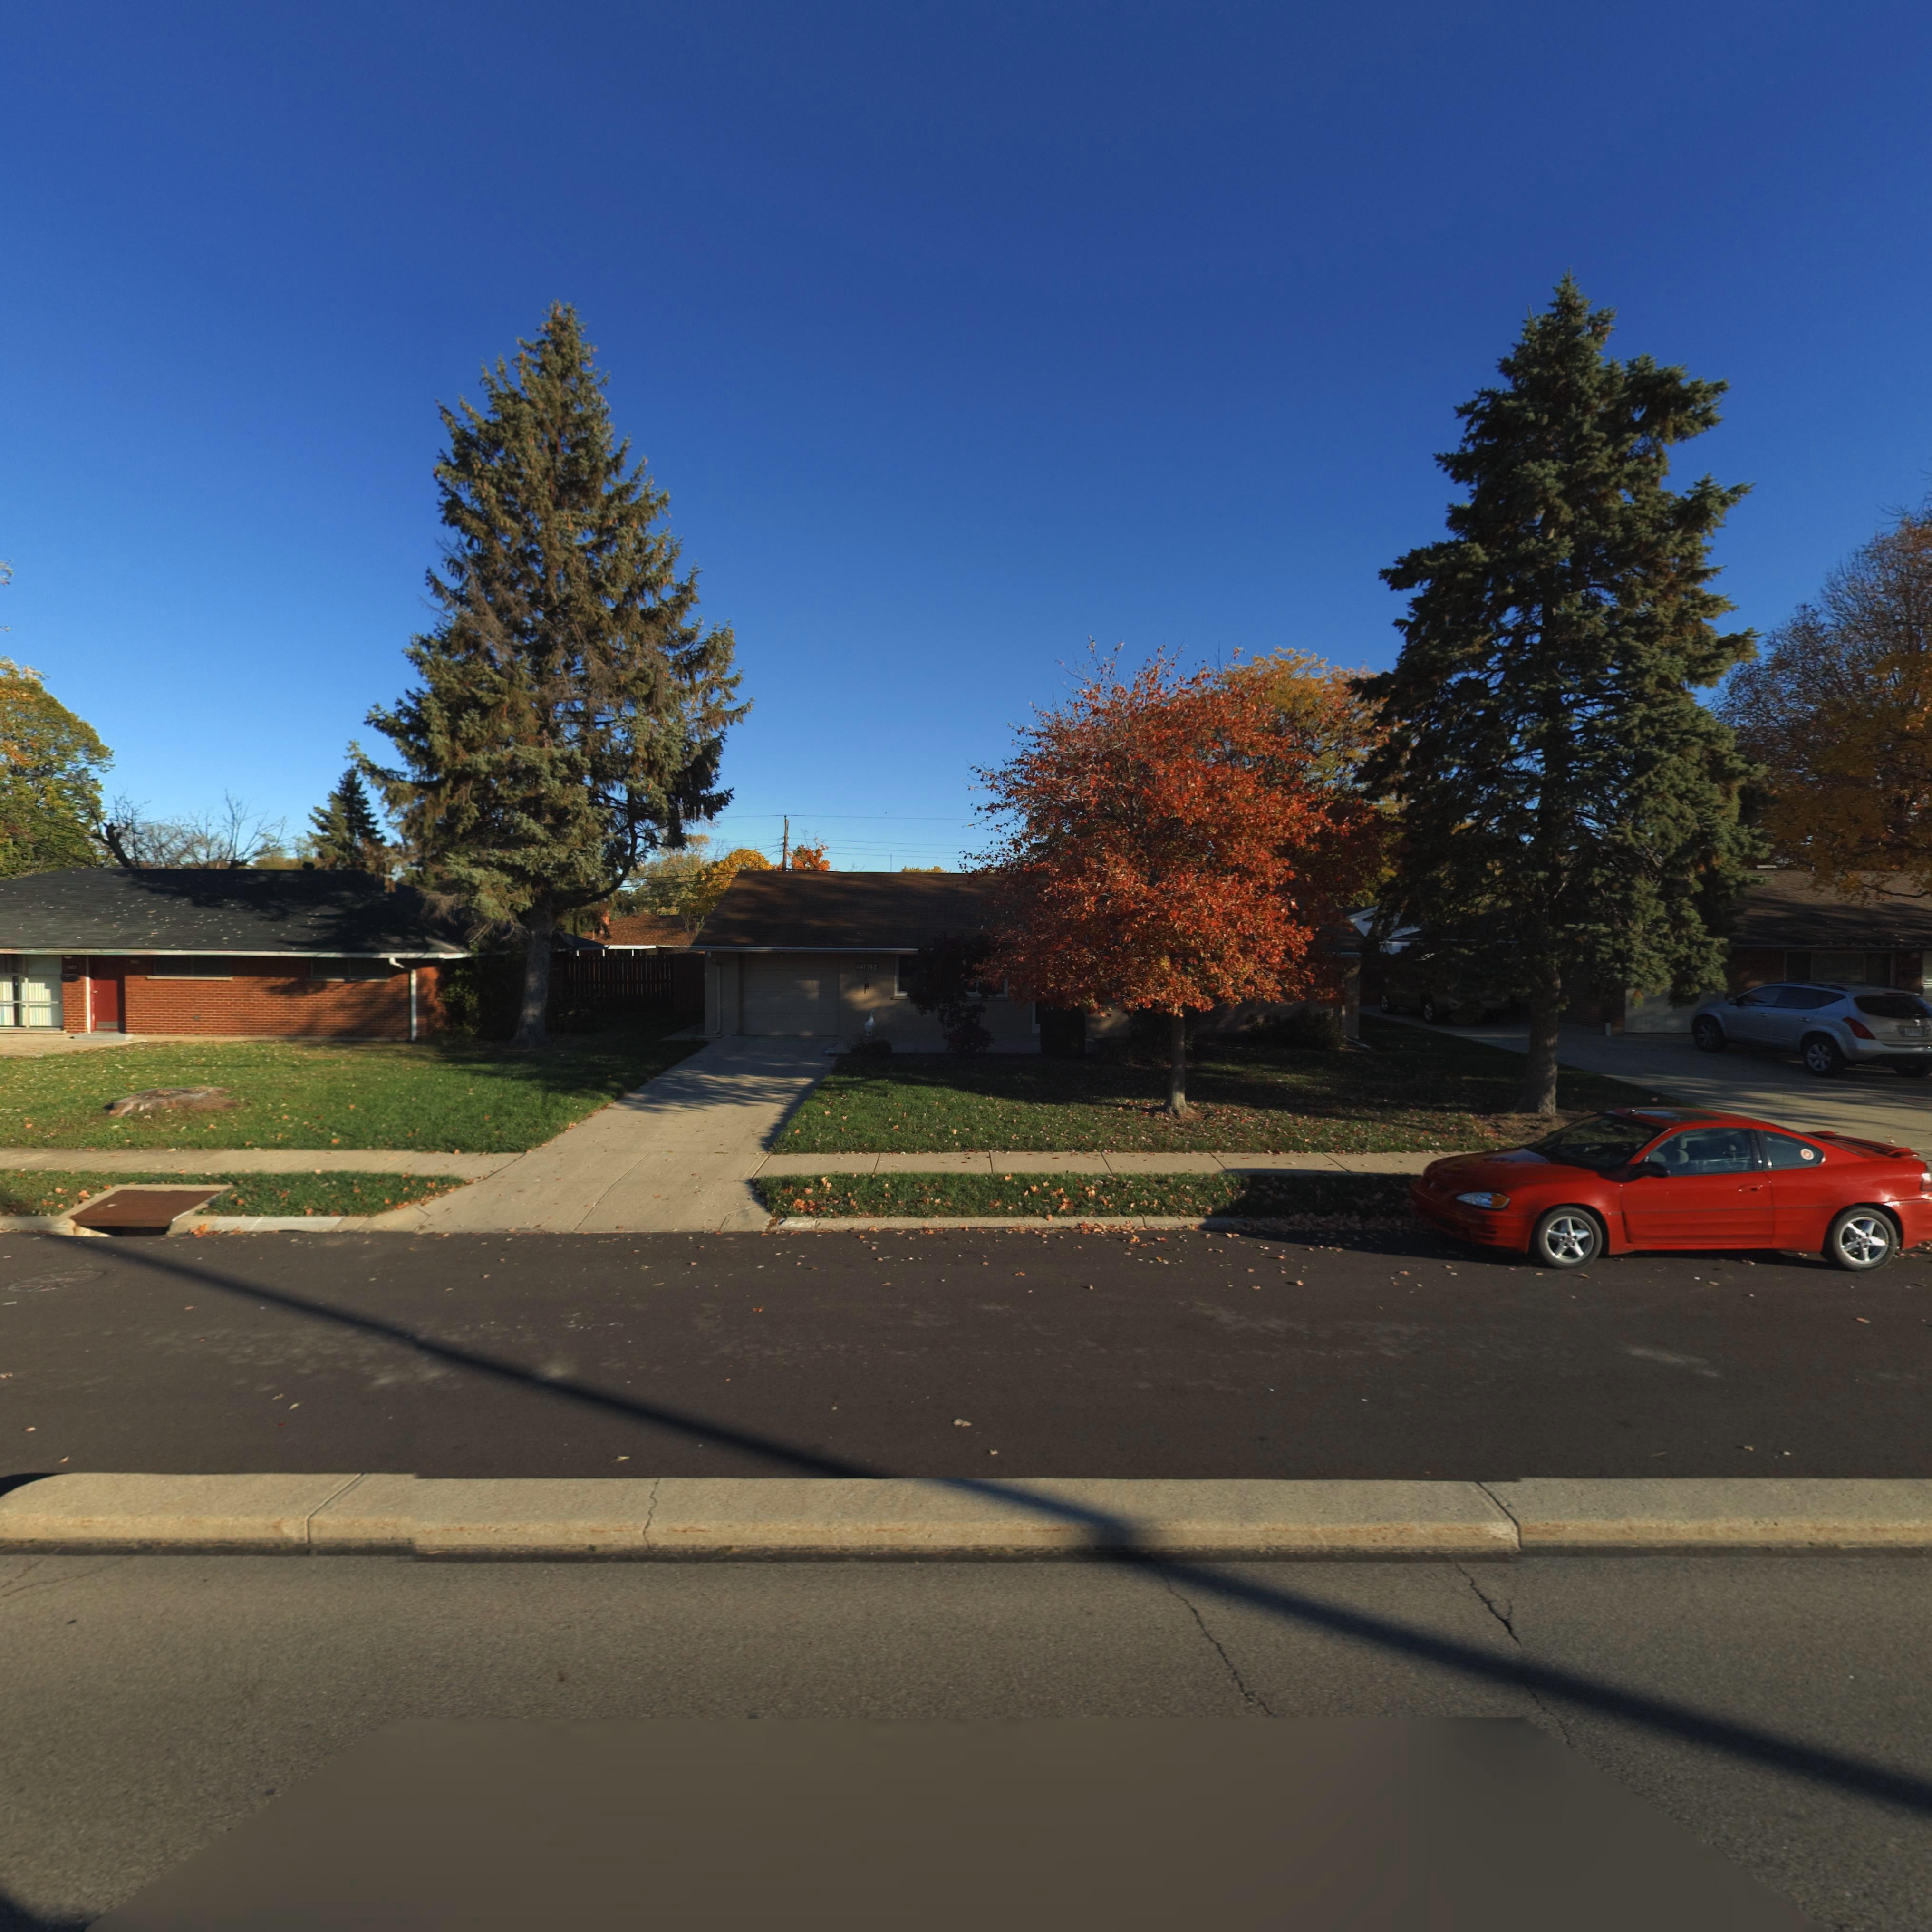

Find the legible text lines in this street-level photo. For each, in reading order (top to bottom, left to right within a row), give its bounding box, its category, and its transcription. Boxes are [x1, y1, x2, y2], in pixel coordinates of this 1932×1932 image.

[862, 964, 875, 971] StreetNumber: 1*13